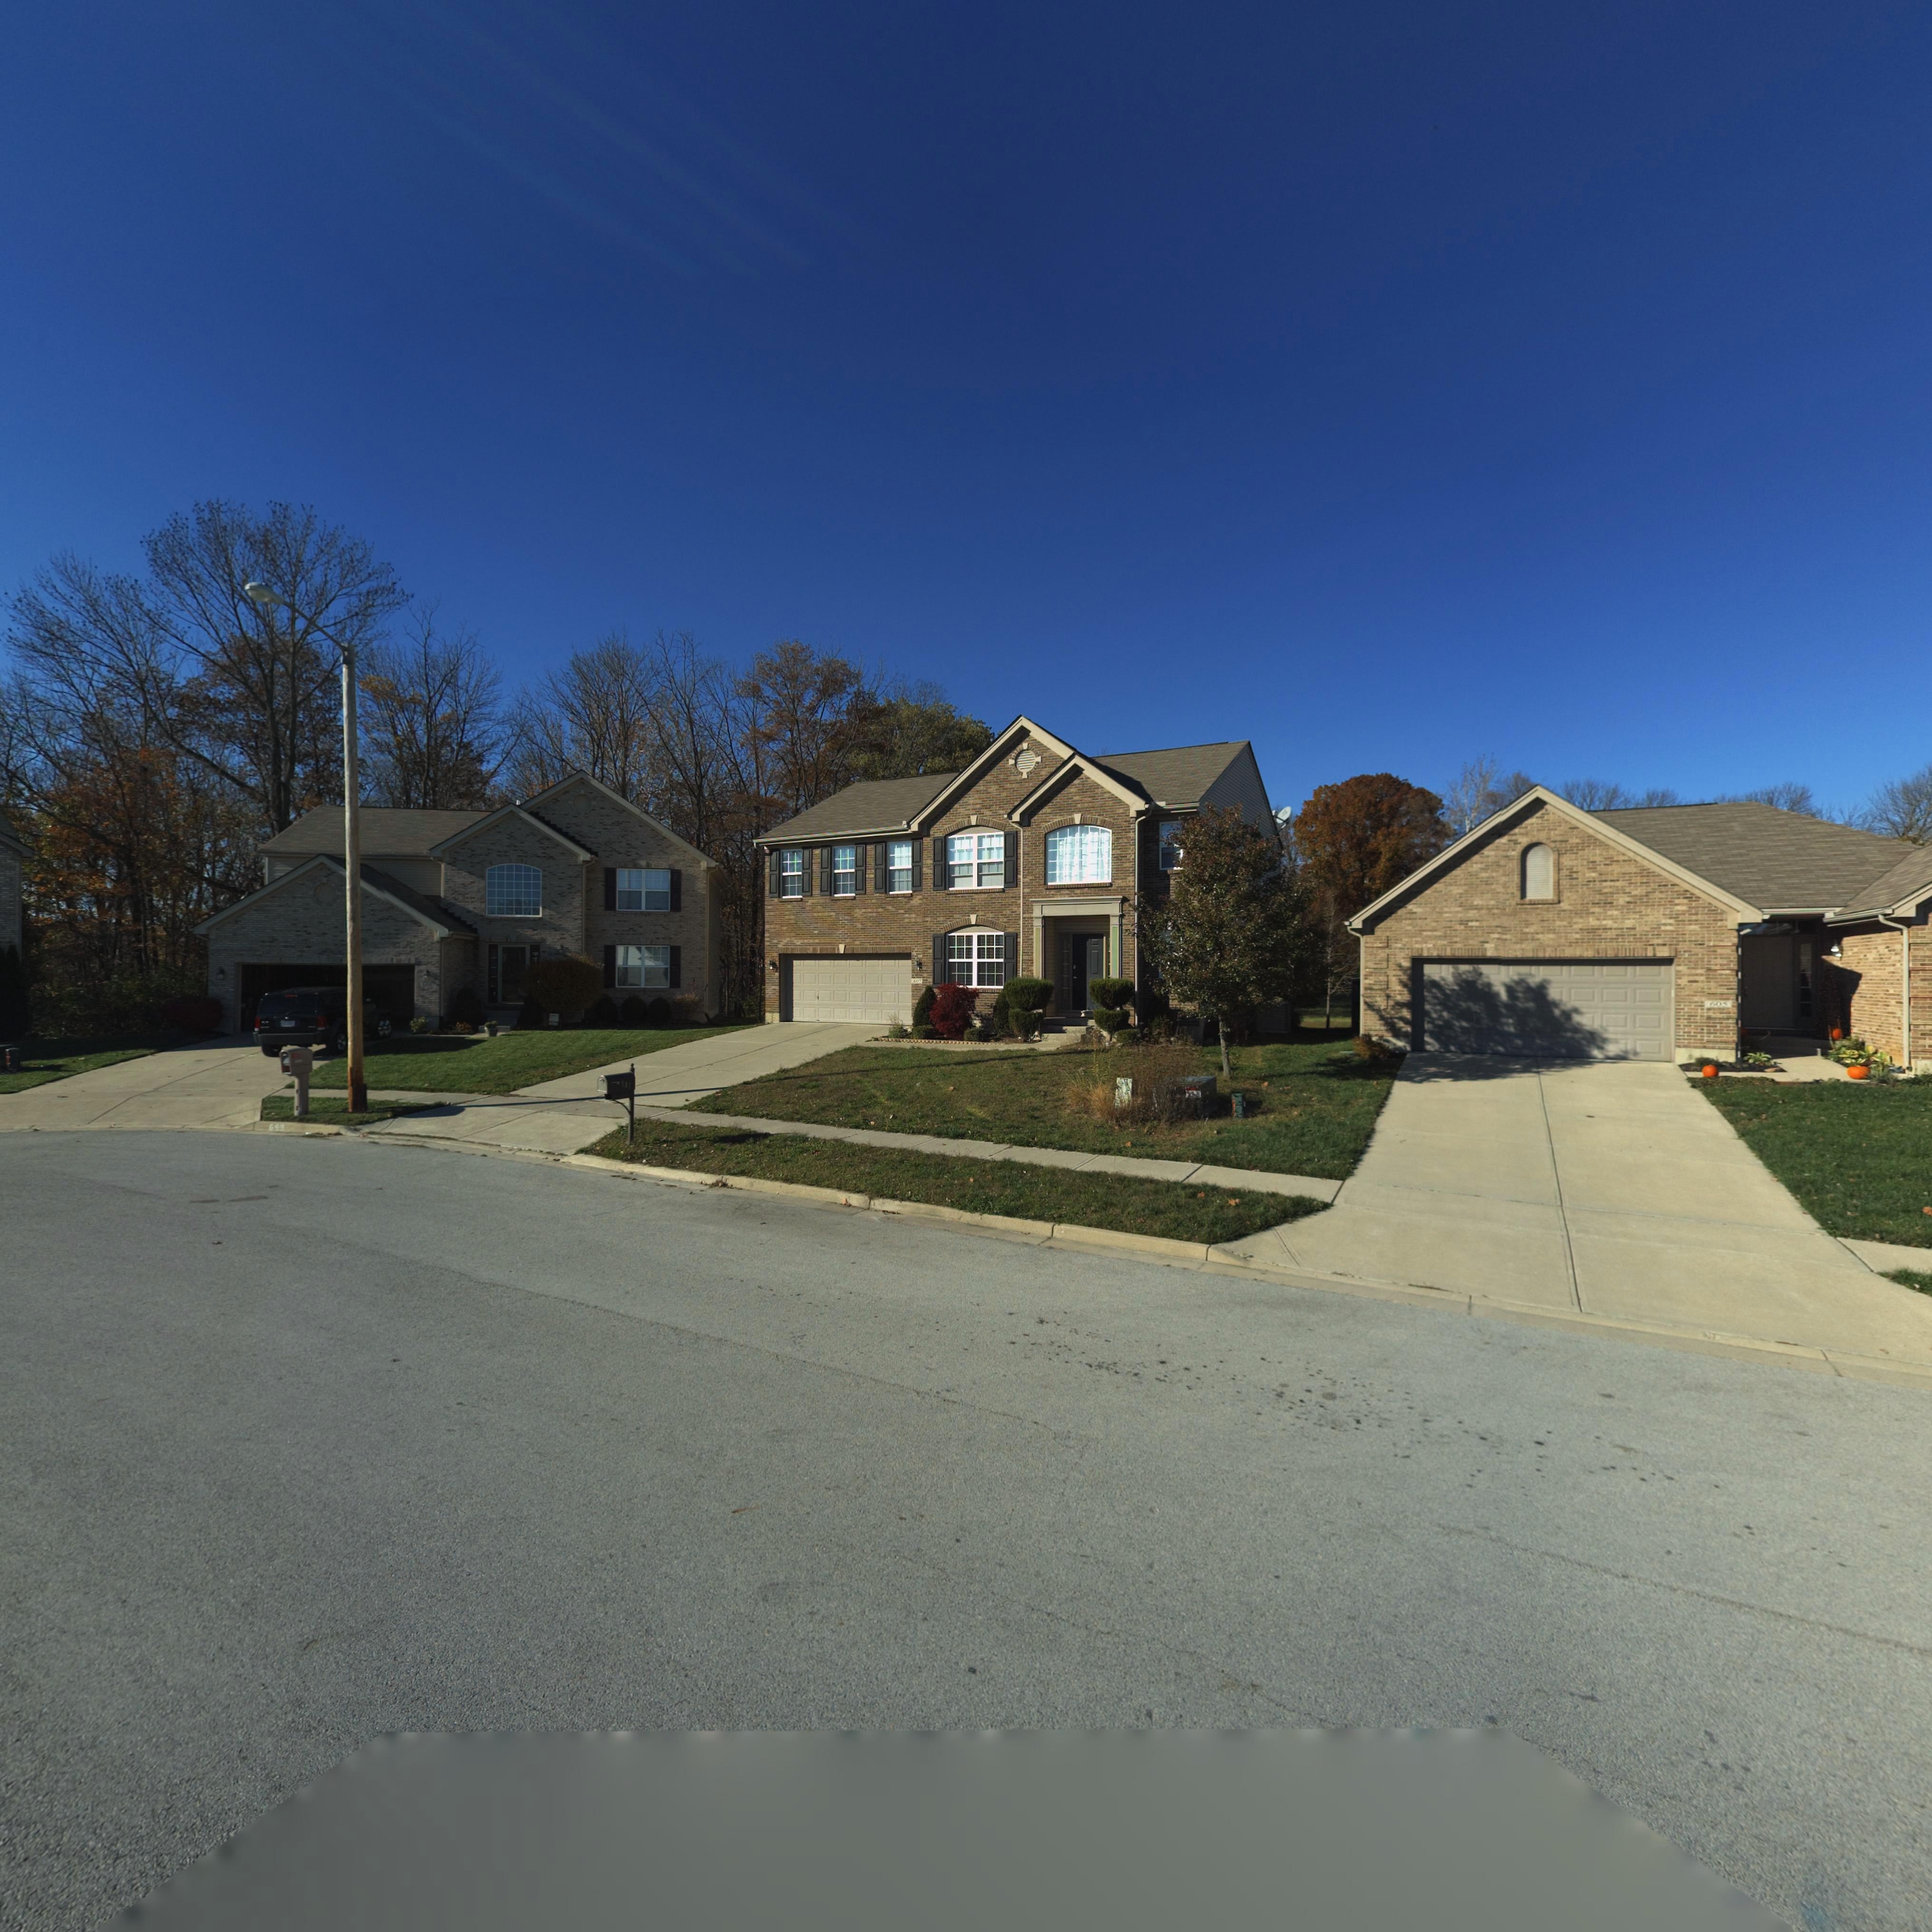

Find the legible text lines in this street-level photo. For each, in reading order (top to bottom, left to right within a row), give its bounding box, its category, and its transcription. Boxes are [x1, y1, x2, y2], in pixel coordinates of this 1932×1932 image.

[421, 983, 433, 987] StreetNumber: 609
[913, 979, 922, 984] StreetNumber: 607
[1709, 1000, 1729, 1007] StreetNumber: 605
[620, 1080, 632, 1090] StreetNumber: 607
[268, 1123, 285, 1132] StreetNumber: 609